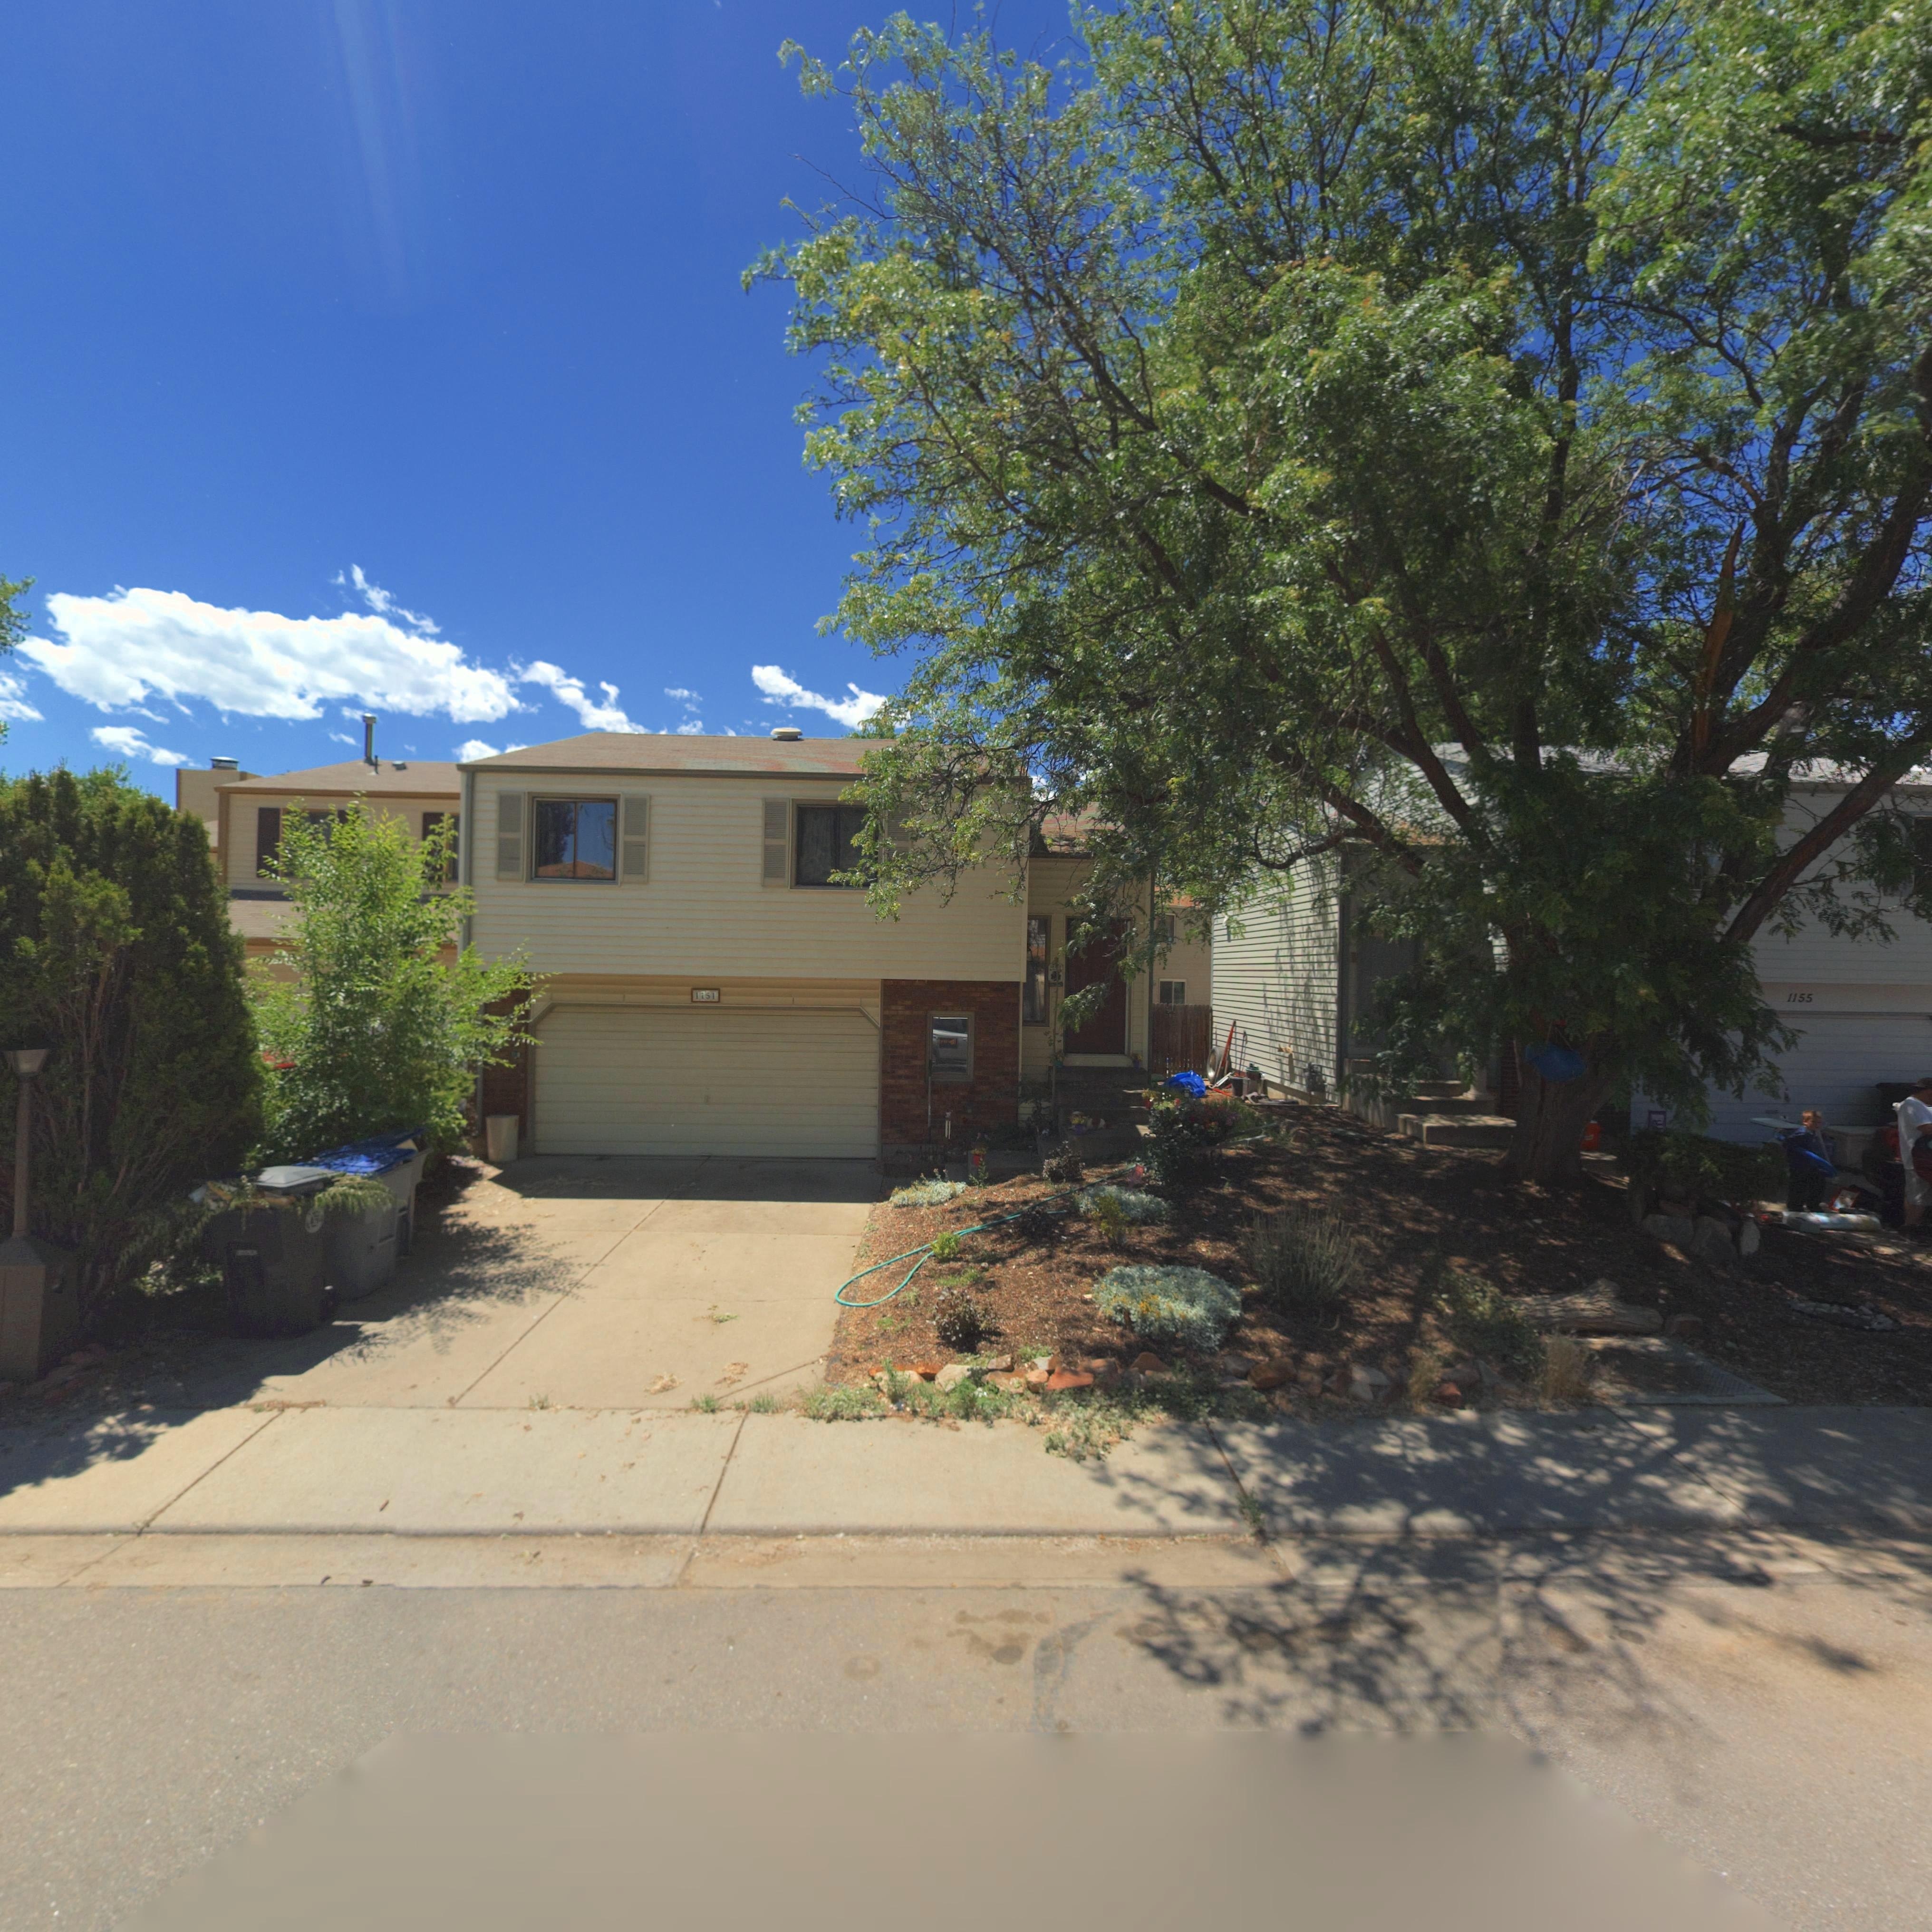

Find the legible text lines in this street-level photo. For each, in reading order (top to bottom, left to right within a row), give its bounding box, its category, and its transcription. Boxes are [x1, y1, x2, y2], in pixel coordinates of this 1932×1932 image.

[1786, 992, 1814, 1003] StreetNumber: 1155